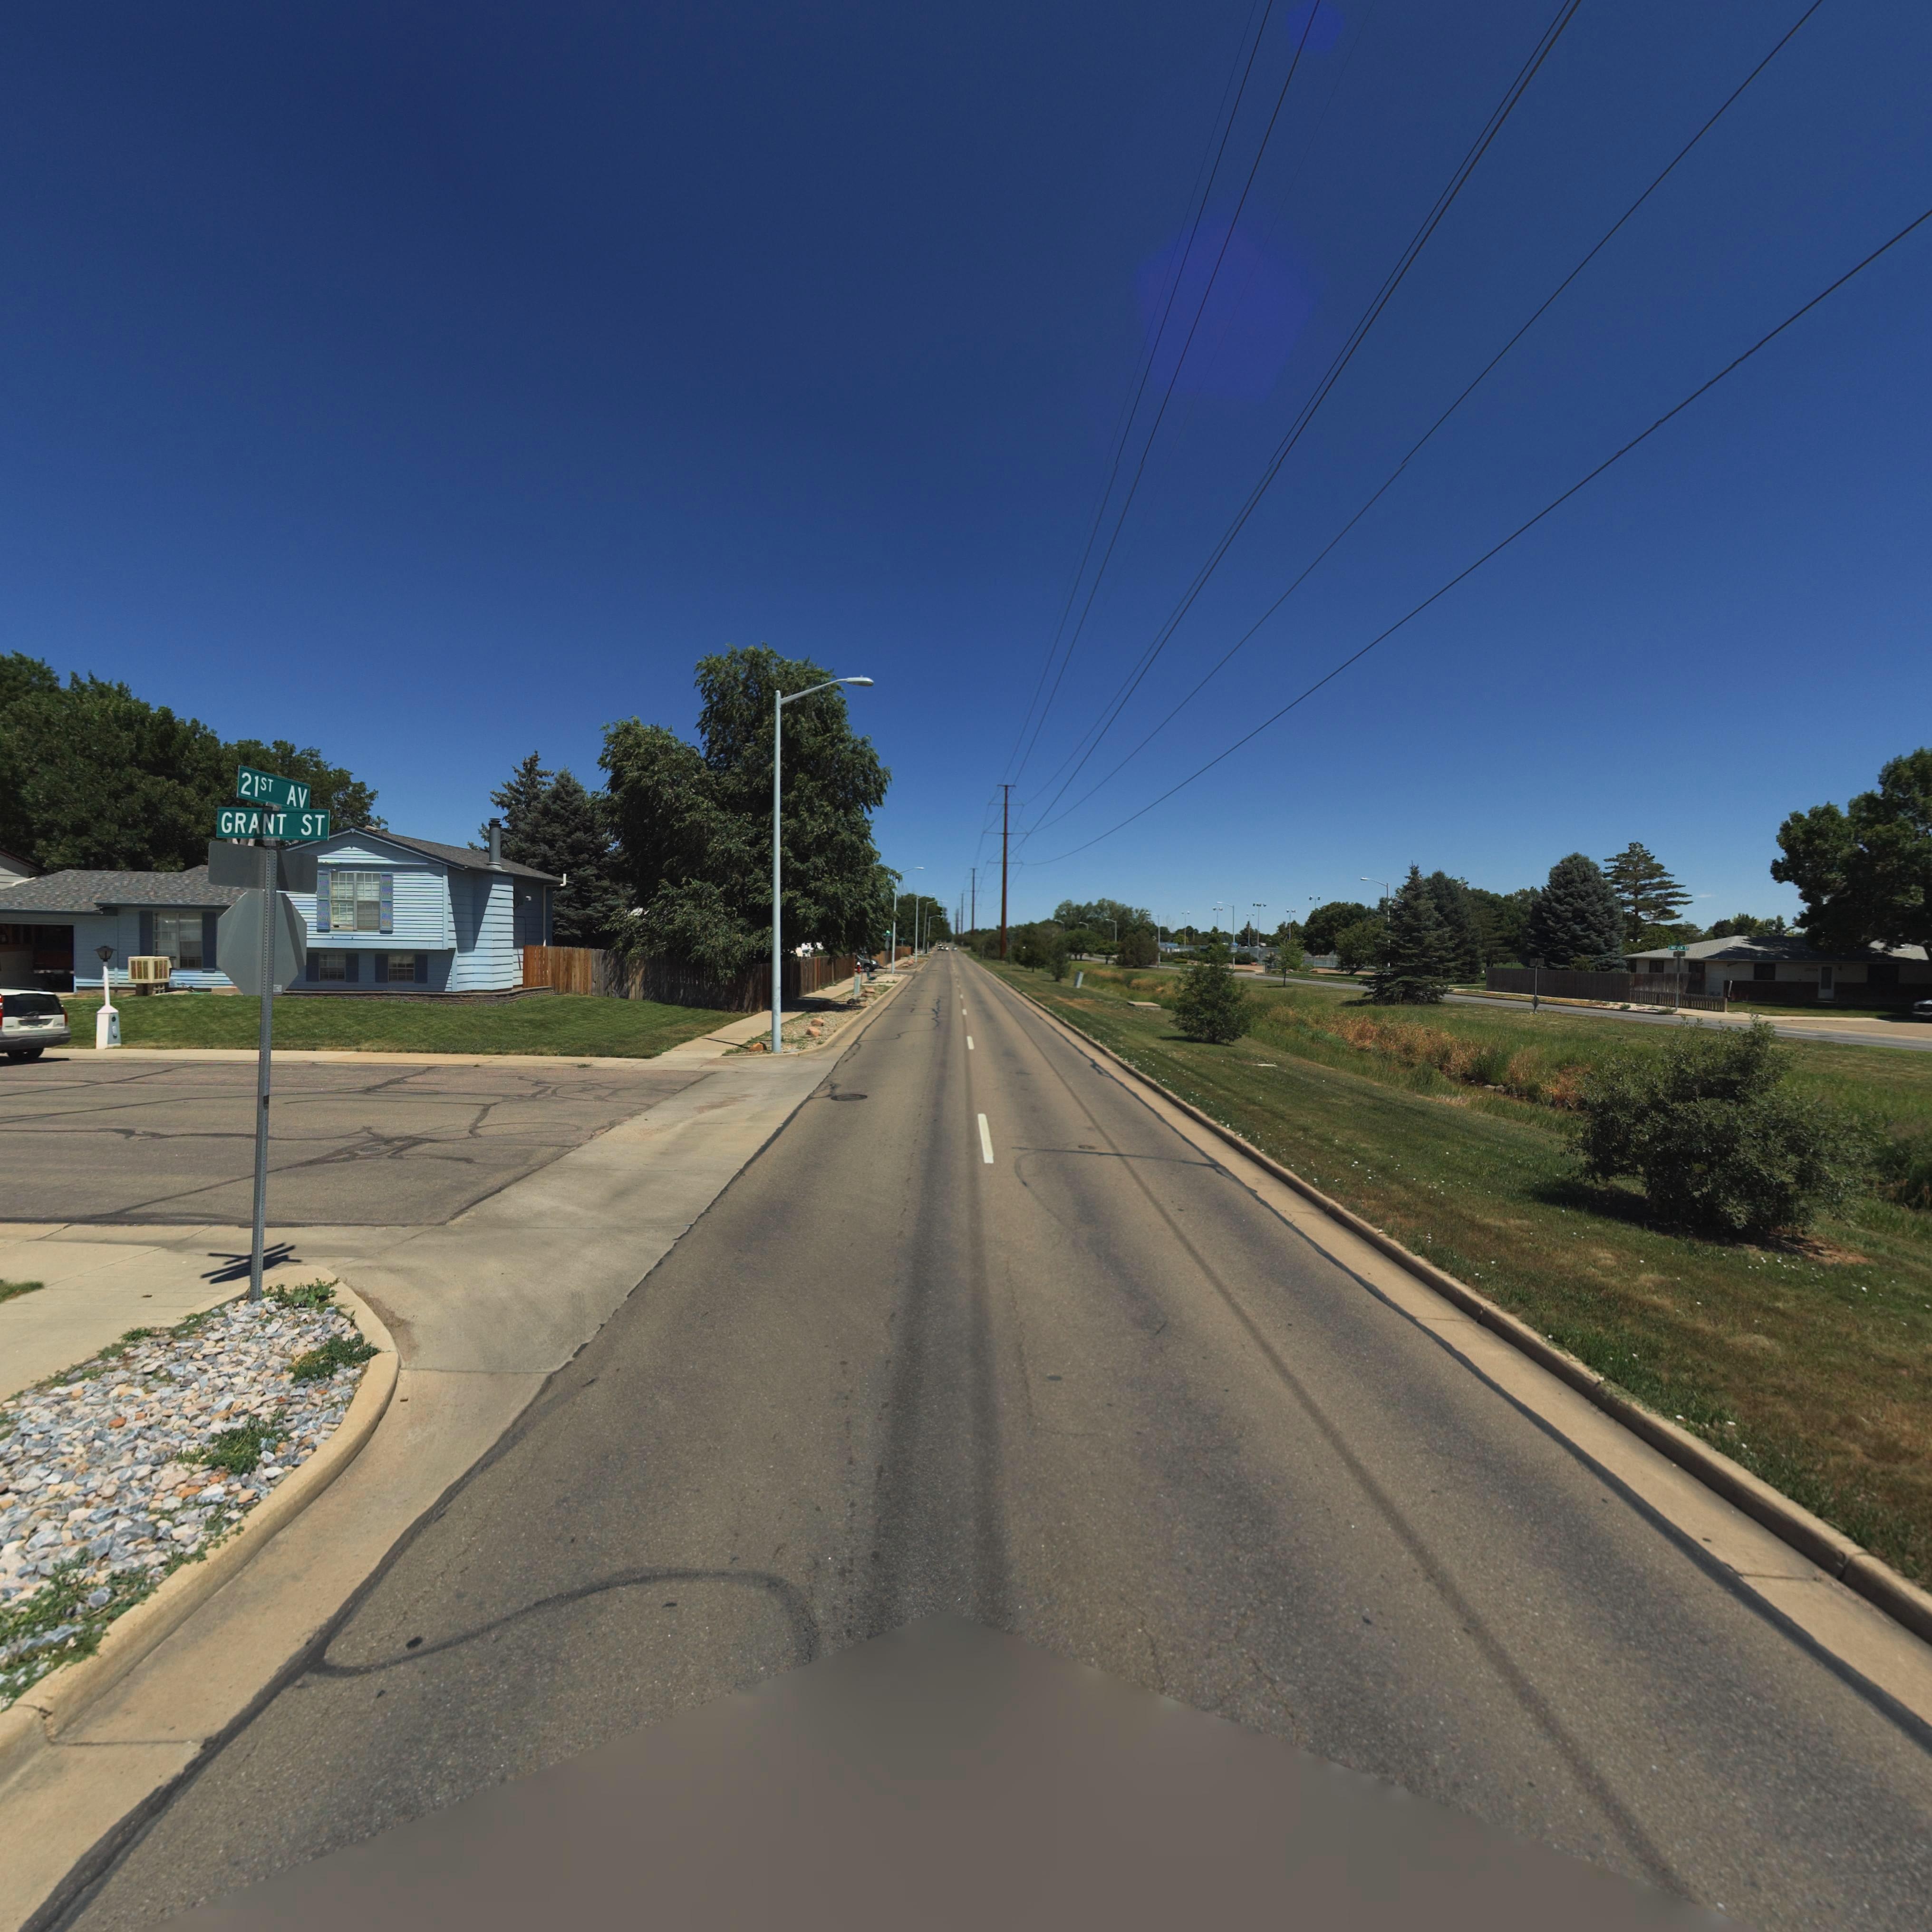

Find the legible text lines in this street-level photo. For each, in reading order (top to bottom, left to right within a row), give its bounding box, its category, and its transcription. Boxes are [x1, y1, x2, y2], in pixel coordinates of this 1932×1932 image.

[240, 772, 308, 809] StreetName: 21ST AV
[221, 811, 325, 836] StreetName: GRANT ST